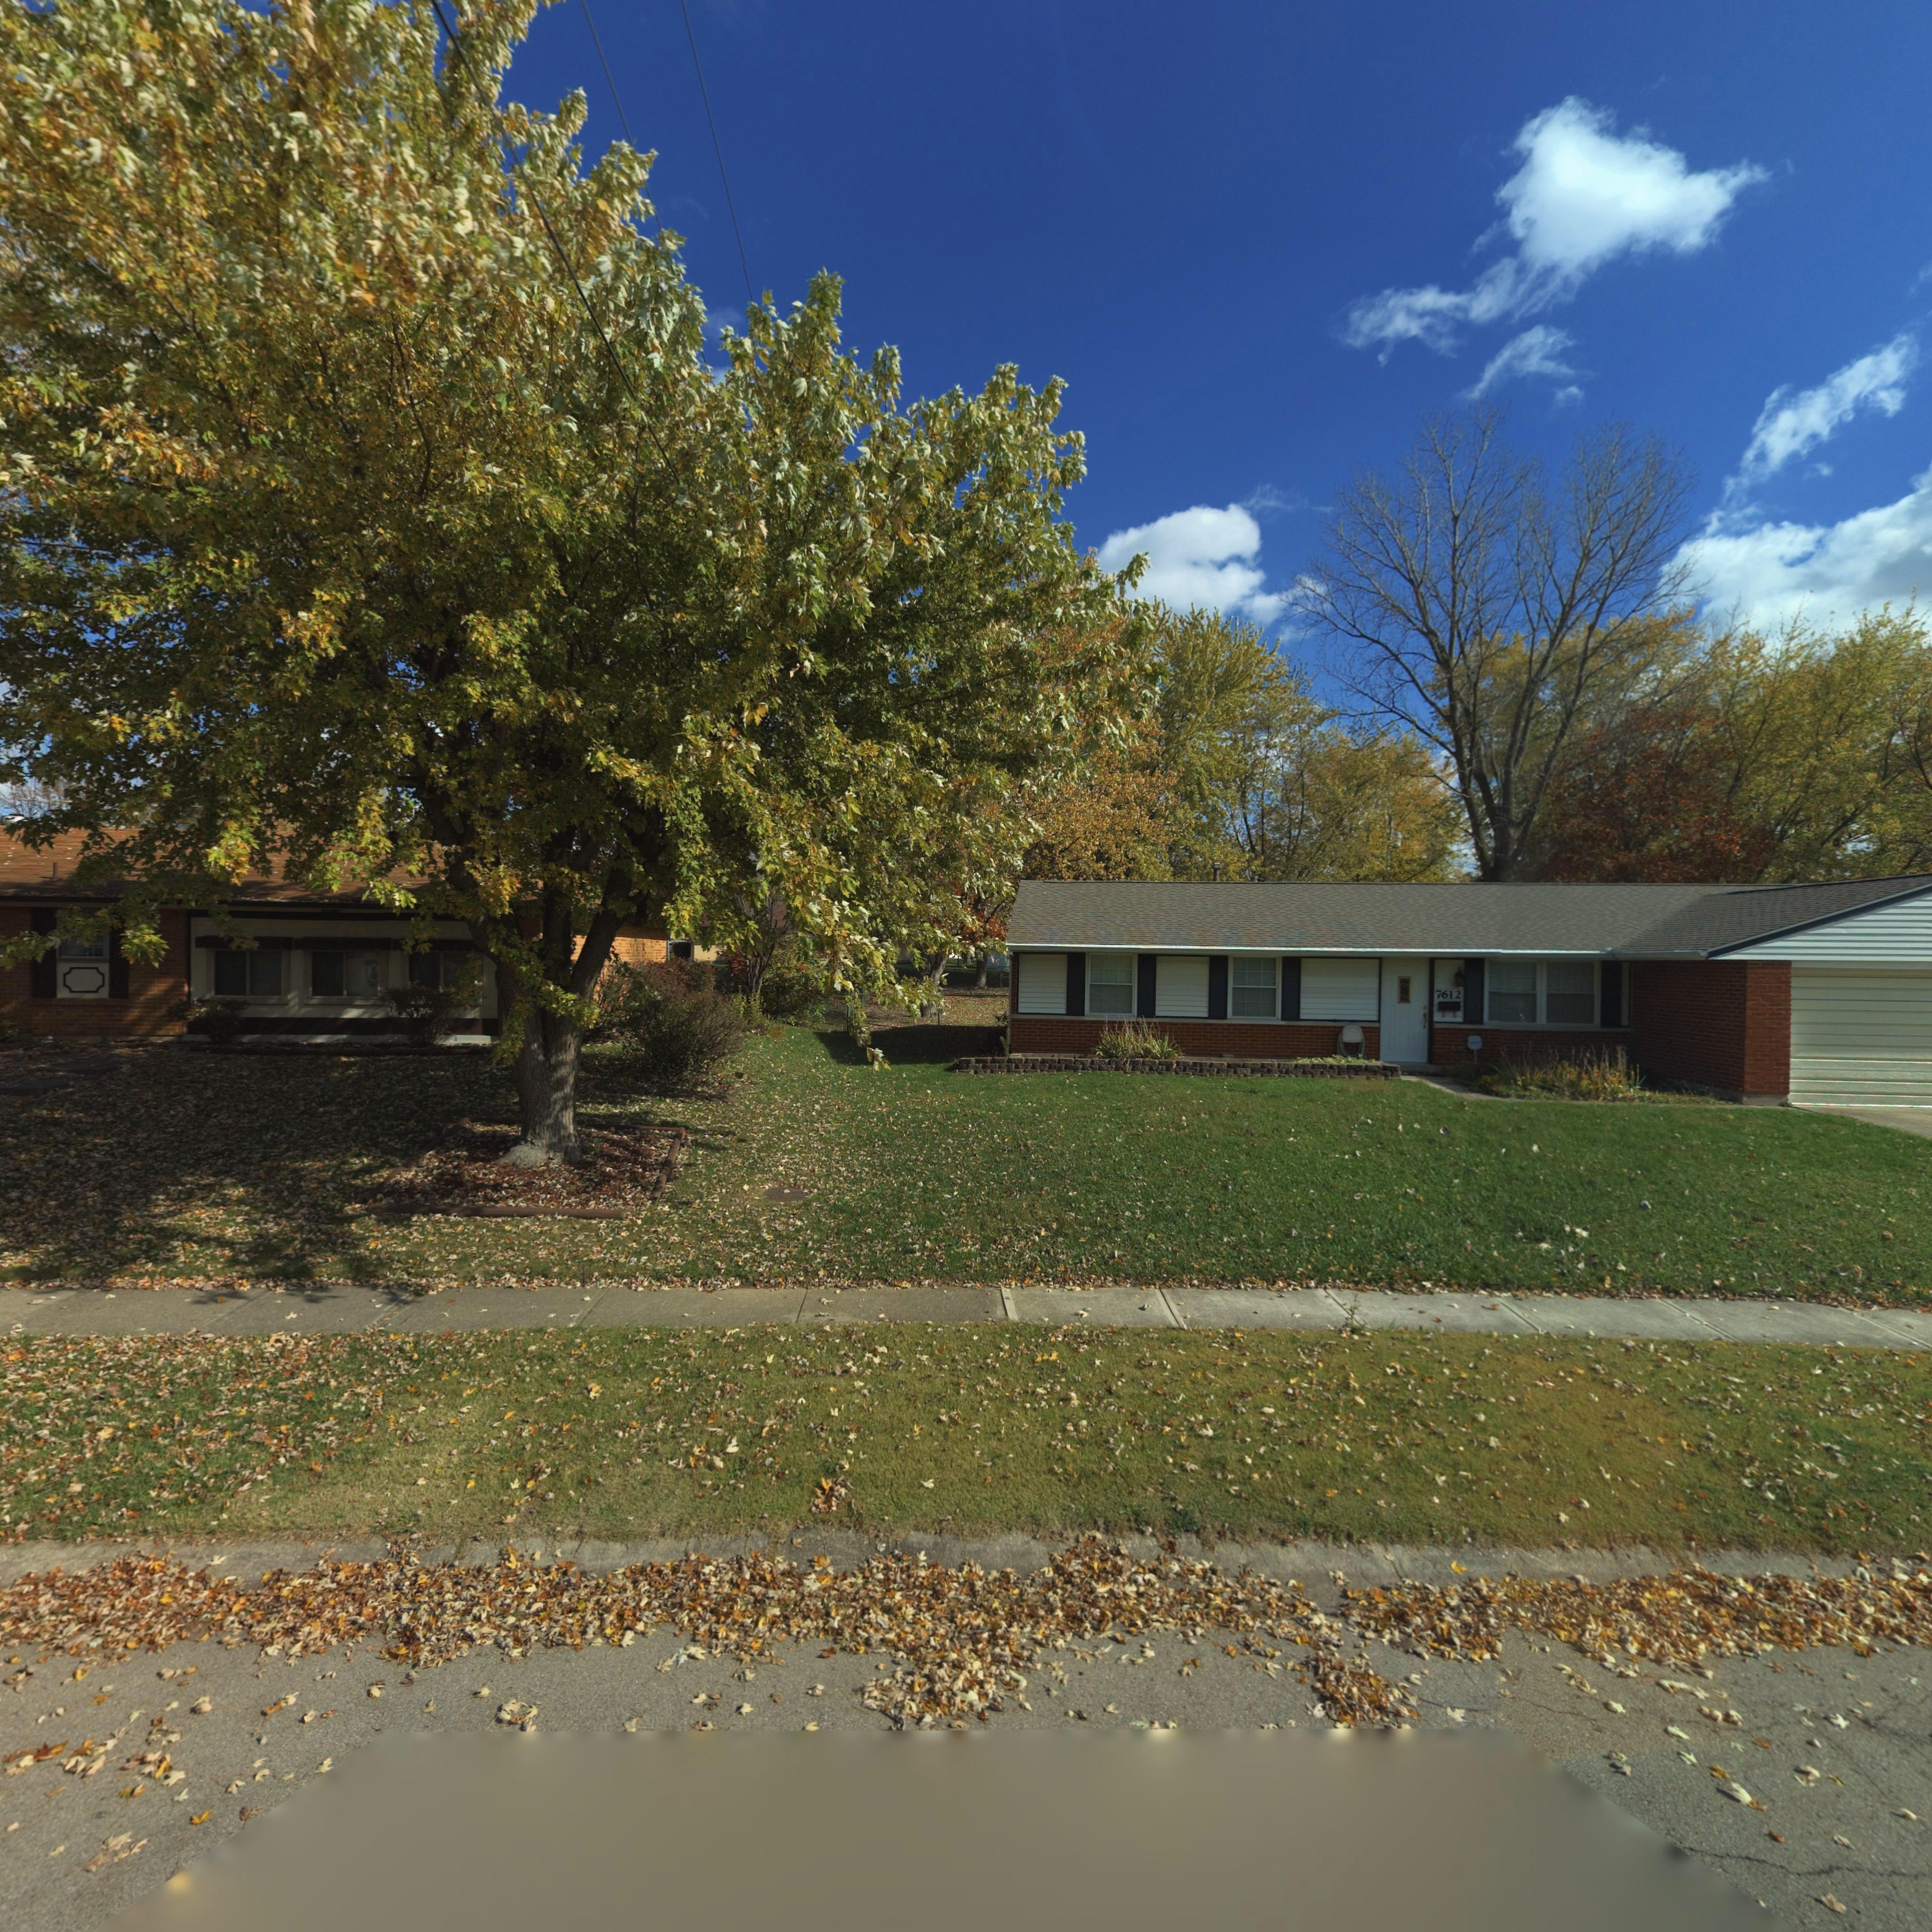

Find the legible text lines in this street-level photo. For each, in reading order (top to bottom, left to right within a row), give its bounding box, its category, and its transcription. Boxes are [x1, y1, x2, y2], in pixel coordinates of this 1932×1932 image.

[1434, 988, 1462, 1000] StreetNumber: 7612